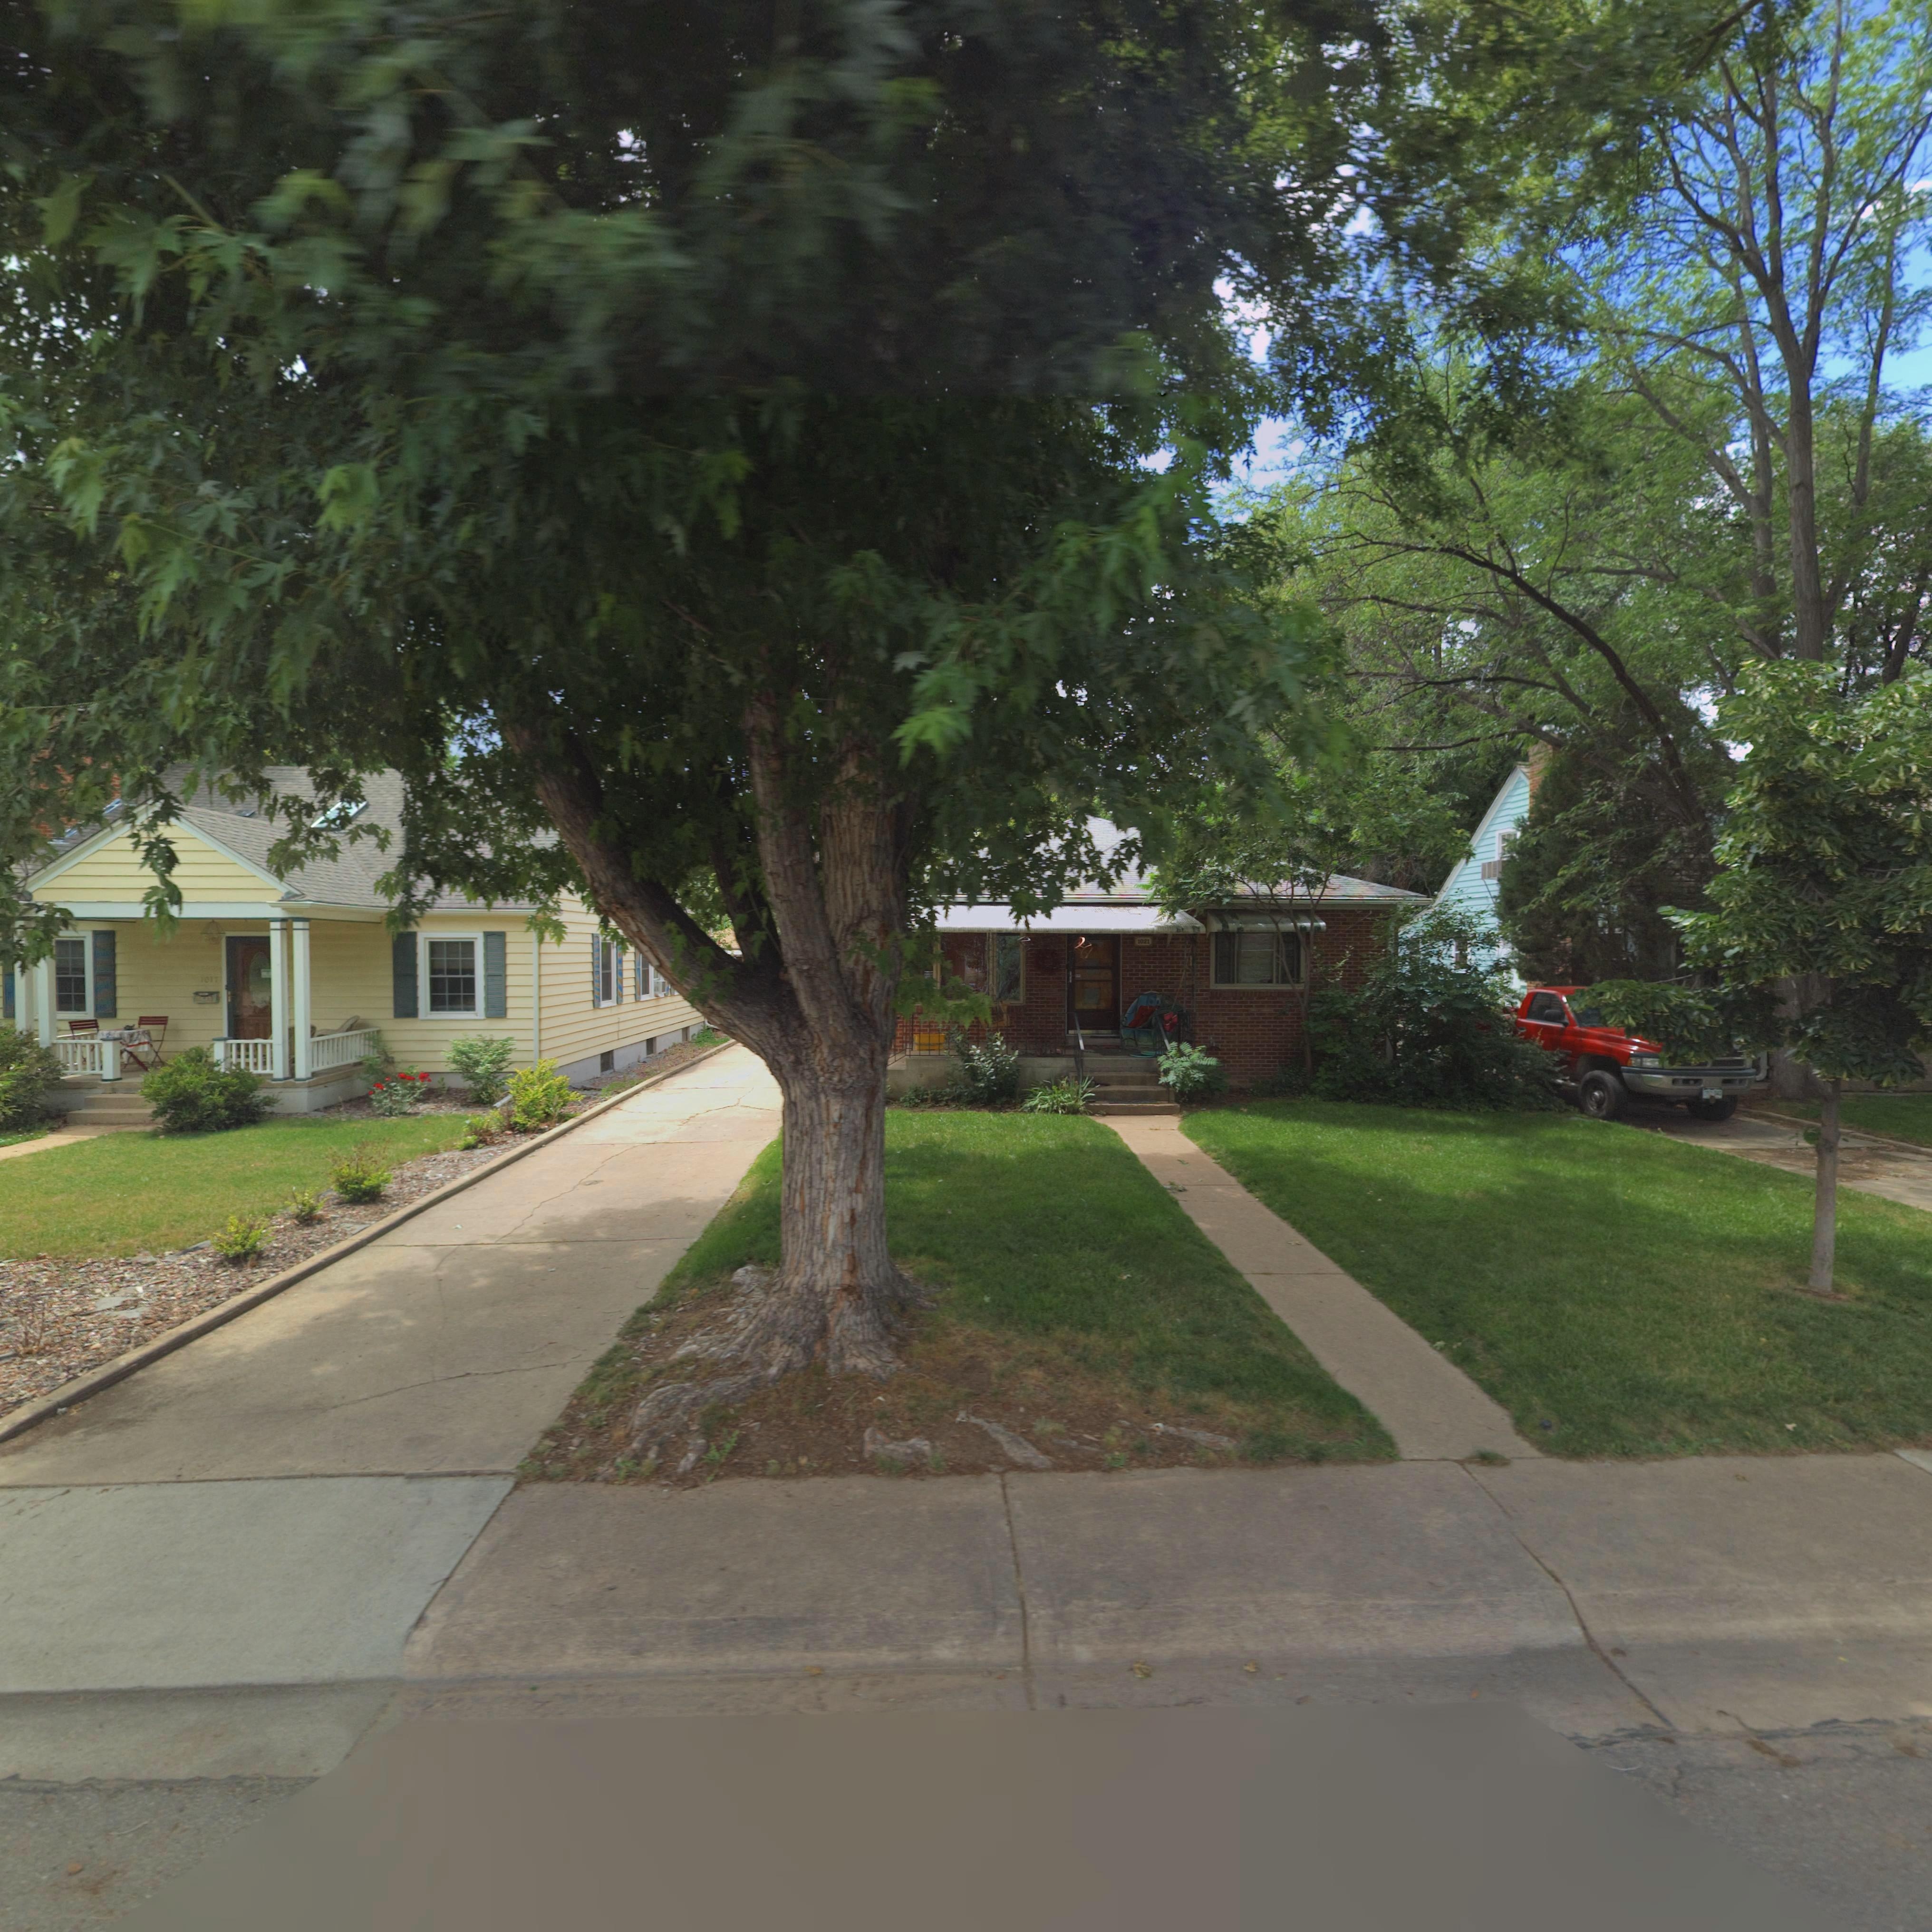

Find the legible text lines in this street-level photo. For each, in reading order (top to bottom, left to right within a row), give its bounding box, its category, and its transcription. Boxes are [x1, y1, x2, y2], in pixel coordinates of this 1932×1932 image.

[1138, 939, 1149, 944] StreetNumber: 1021
[201, 976, 218, 983] StreetNumber: 1017